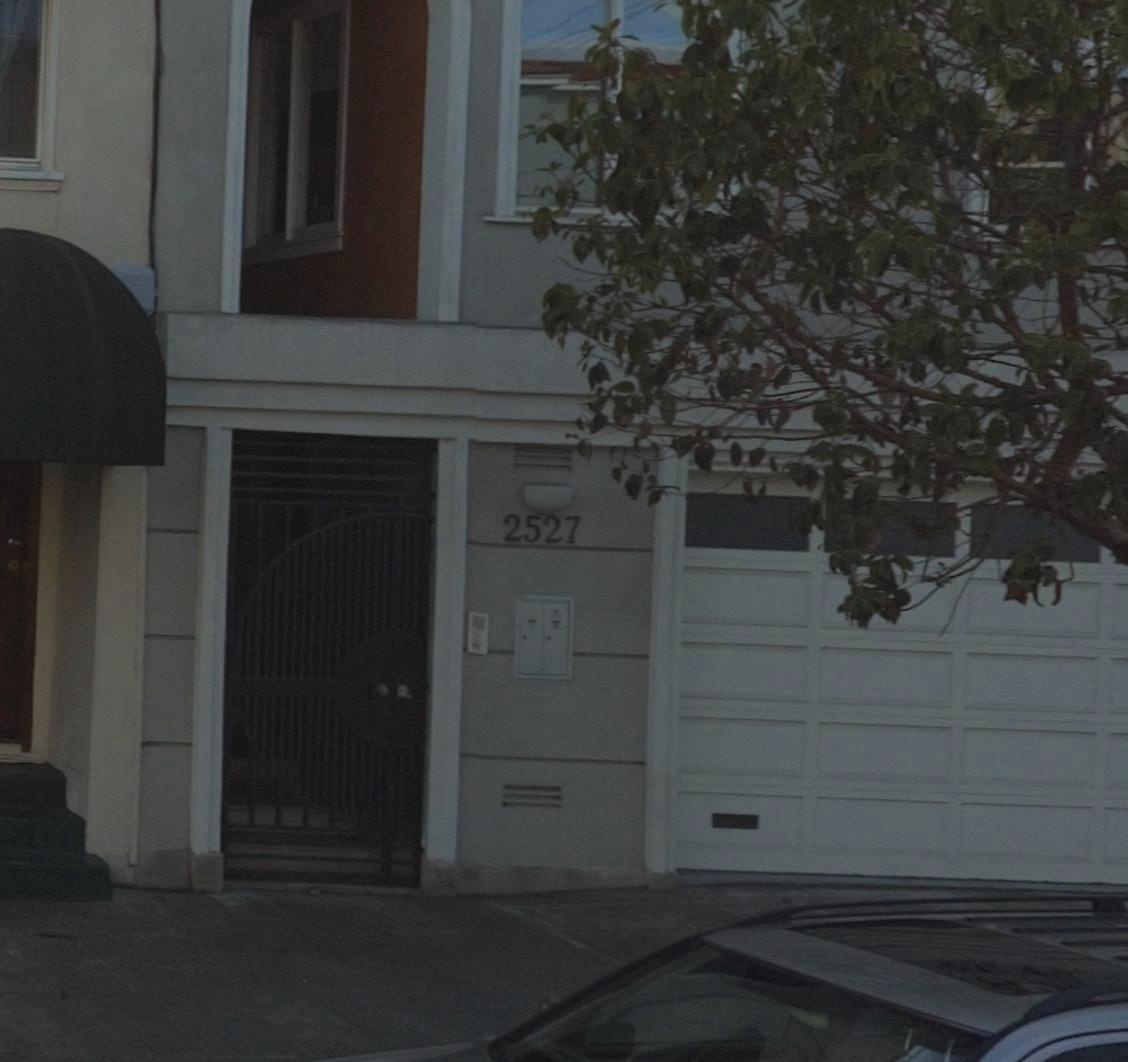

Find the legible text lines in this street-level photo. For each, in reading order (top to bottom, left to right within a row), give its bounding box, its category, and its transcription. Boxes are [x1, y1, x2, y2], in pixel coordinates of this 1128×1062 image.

[500, 511, 585, 547] StreetNumber: 2527